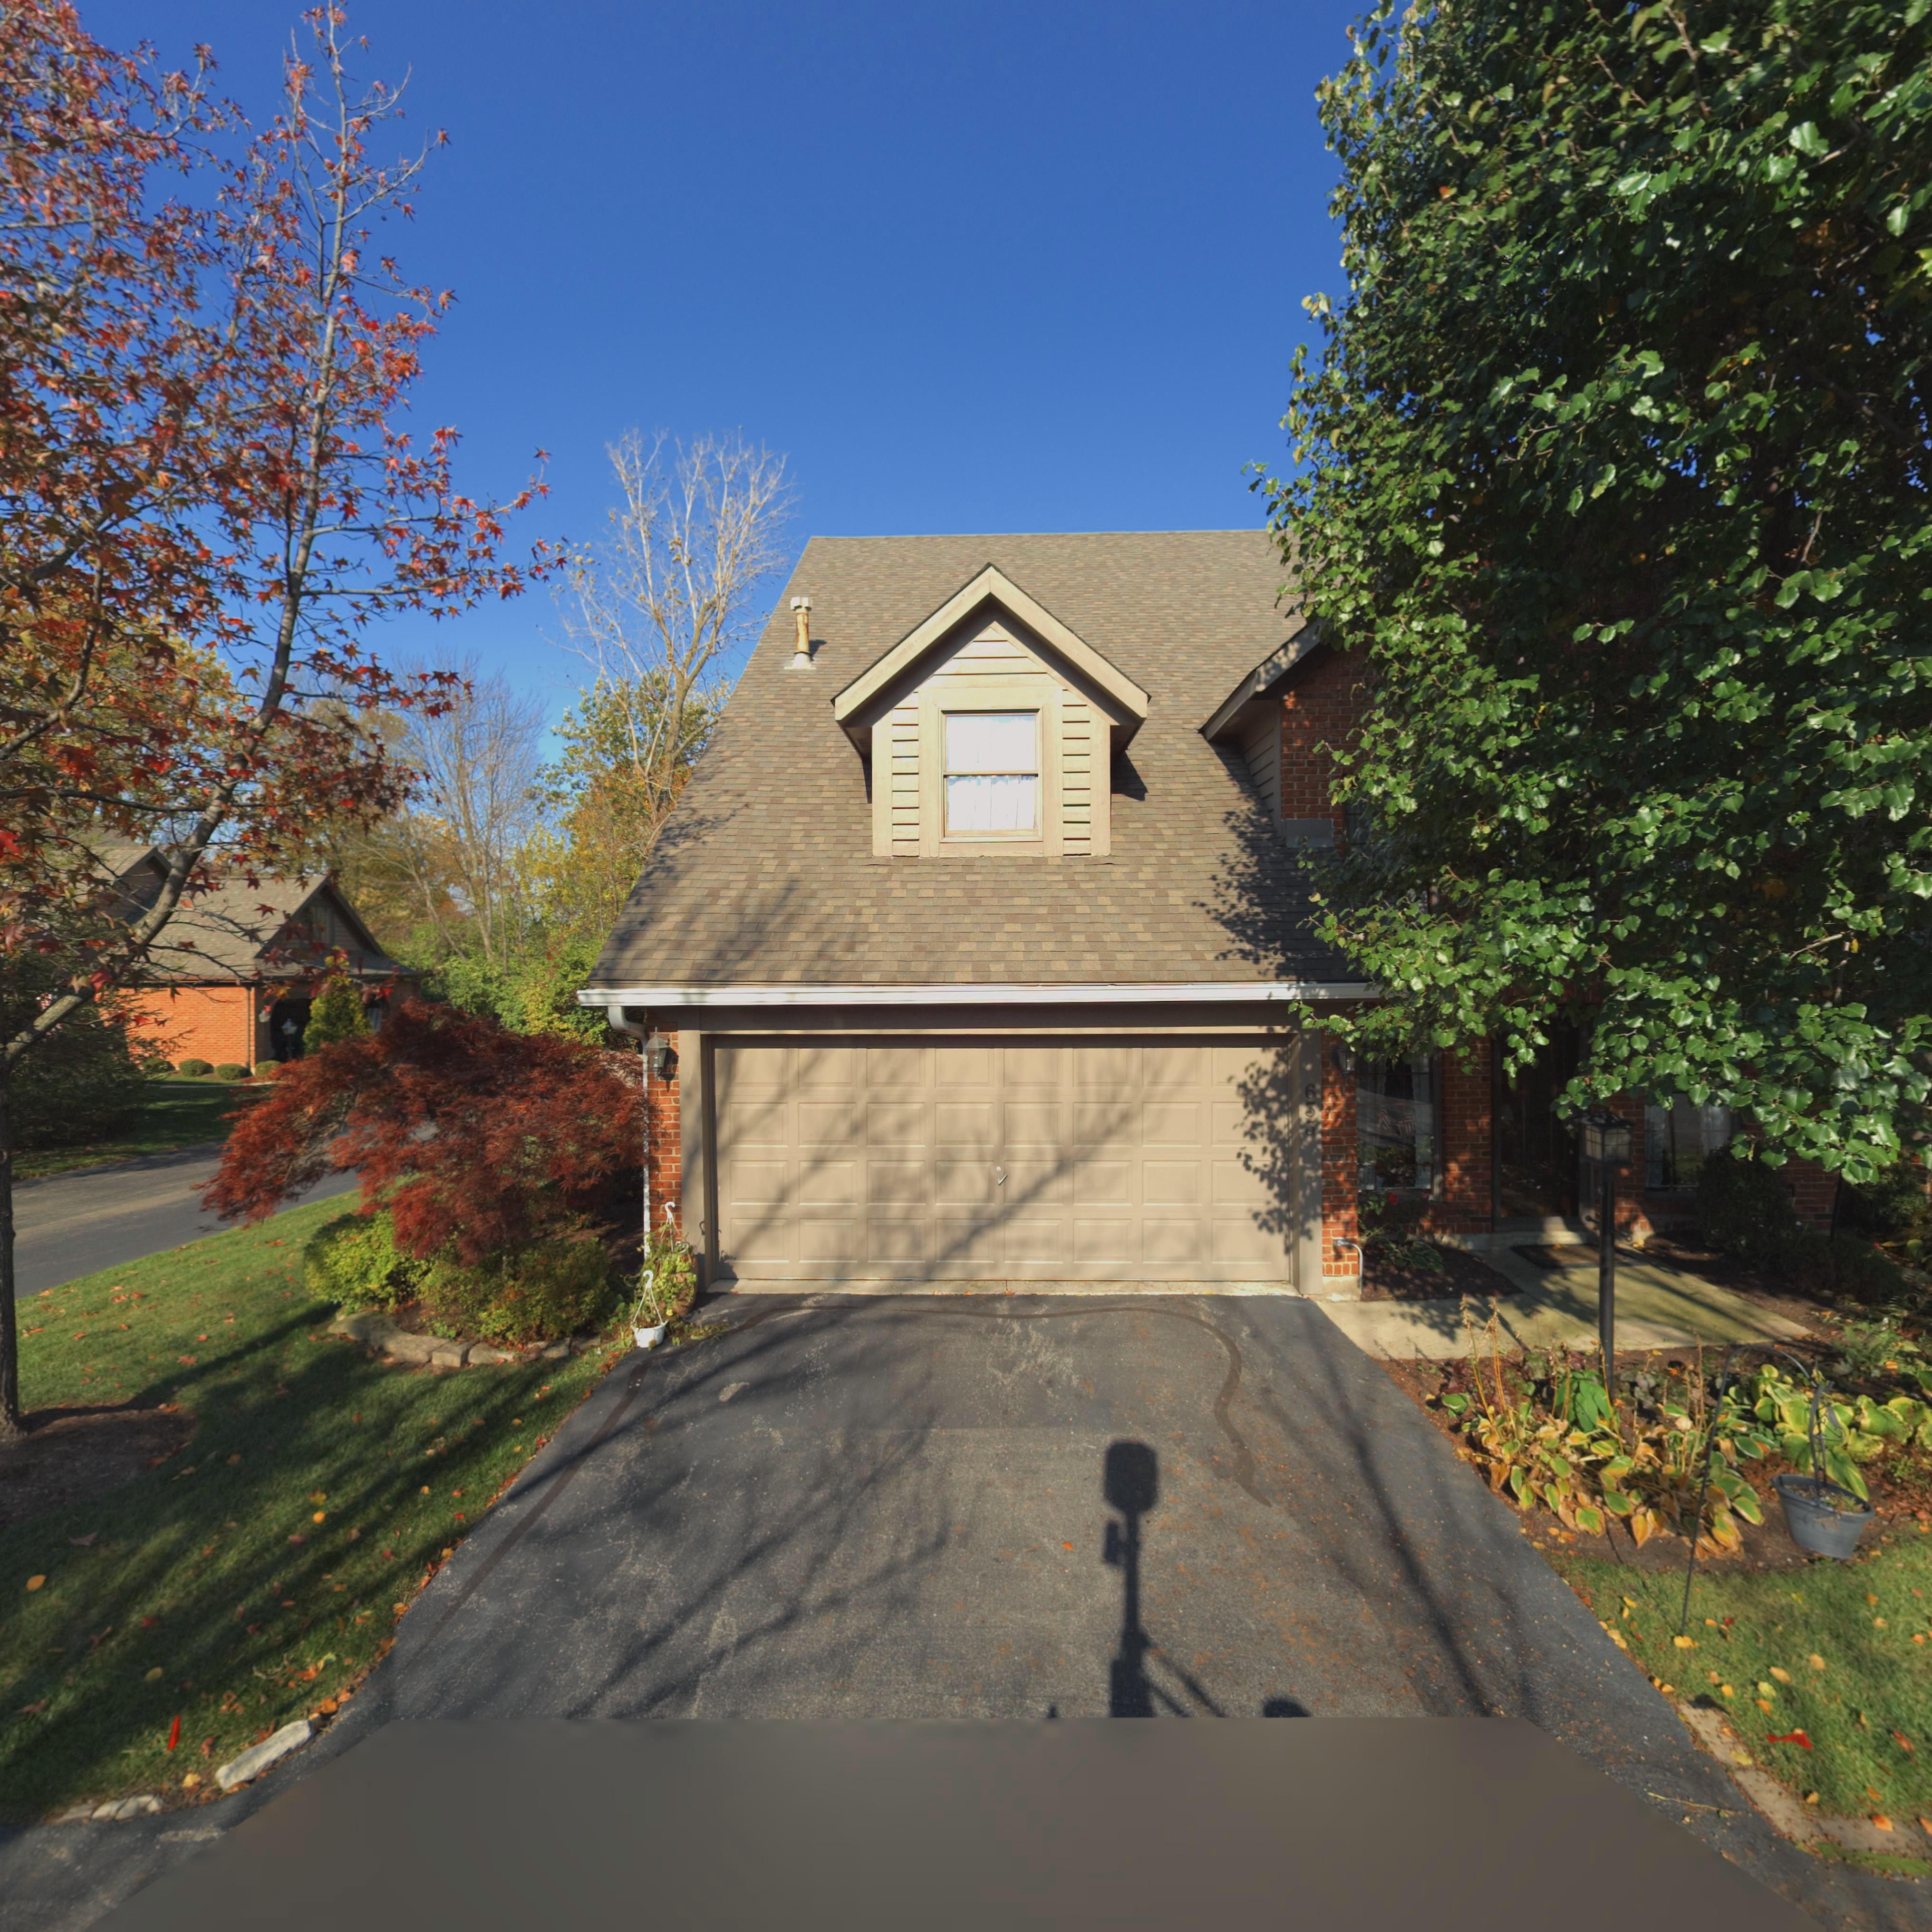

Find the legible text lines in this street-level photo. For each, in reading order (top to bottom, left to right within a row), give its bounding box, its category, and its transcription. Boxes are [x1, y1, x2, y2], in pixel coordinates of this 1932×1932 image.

[1304, 1082, 1317, 1137] StreetNumber: 633